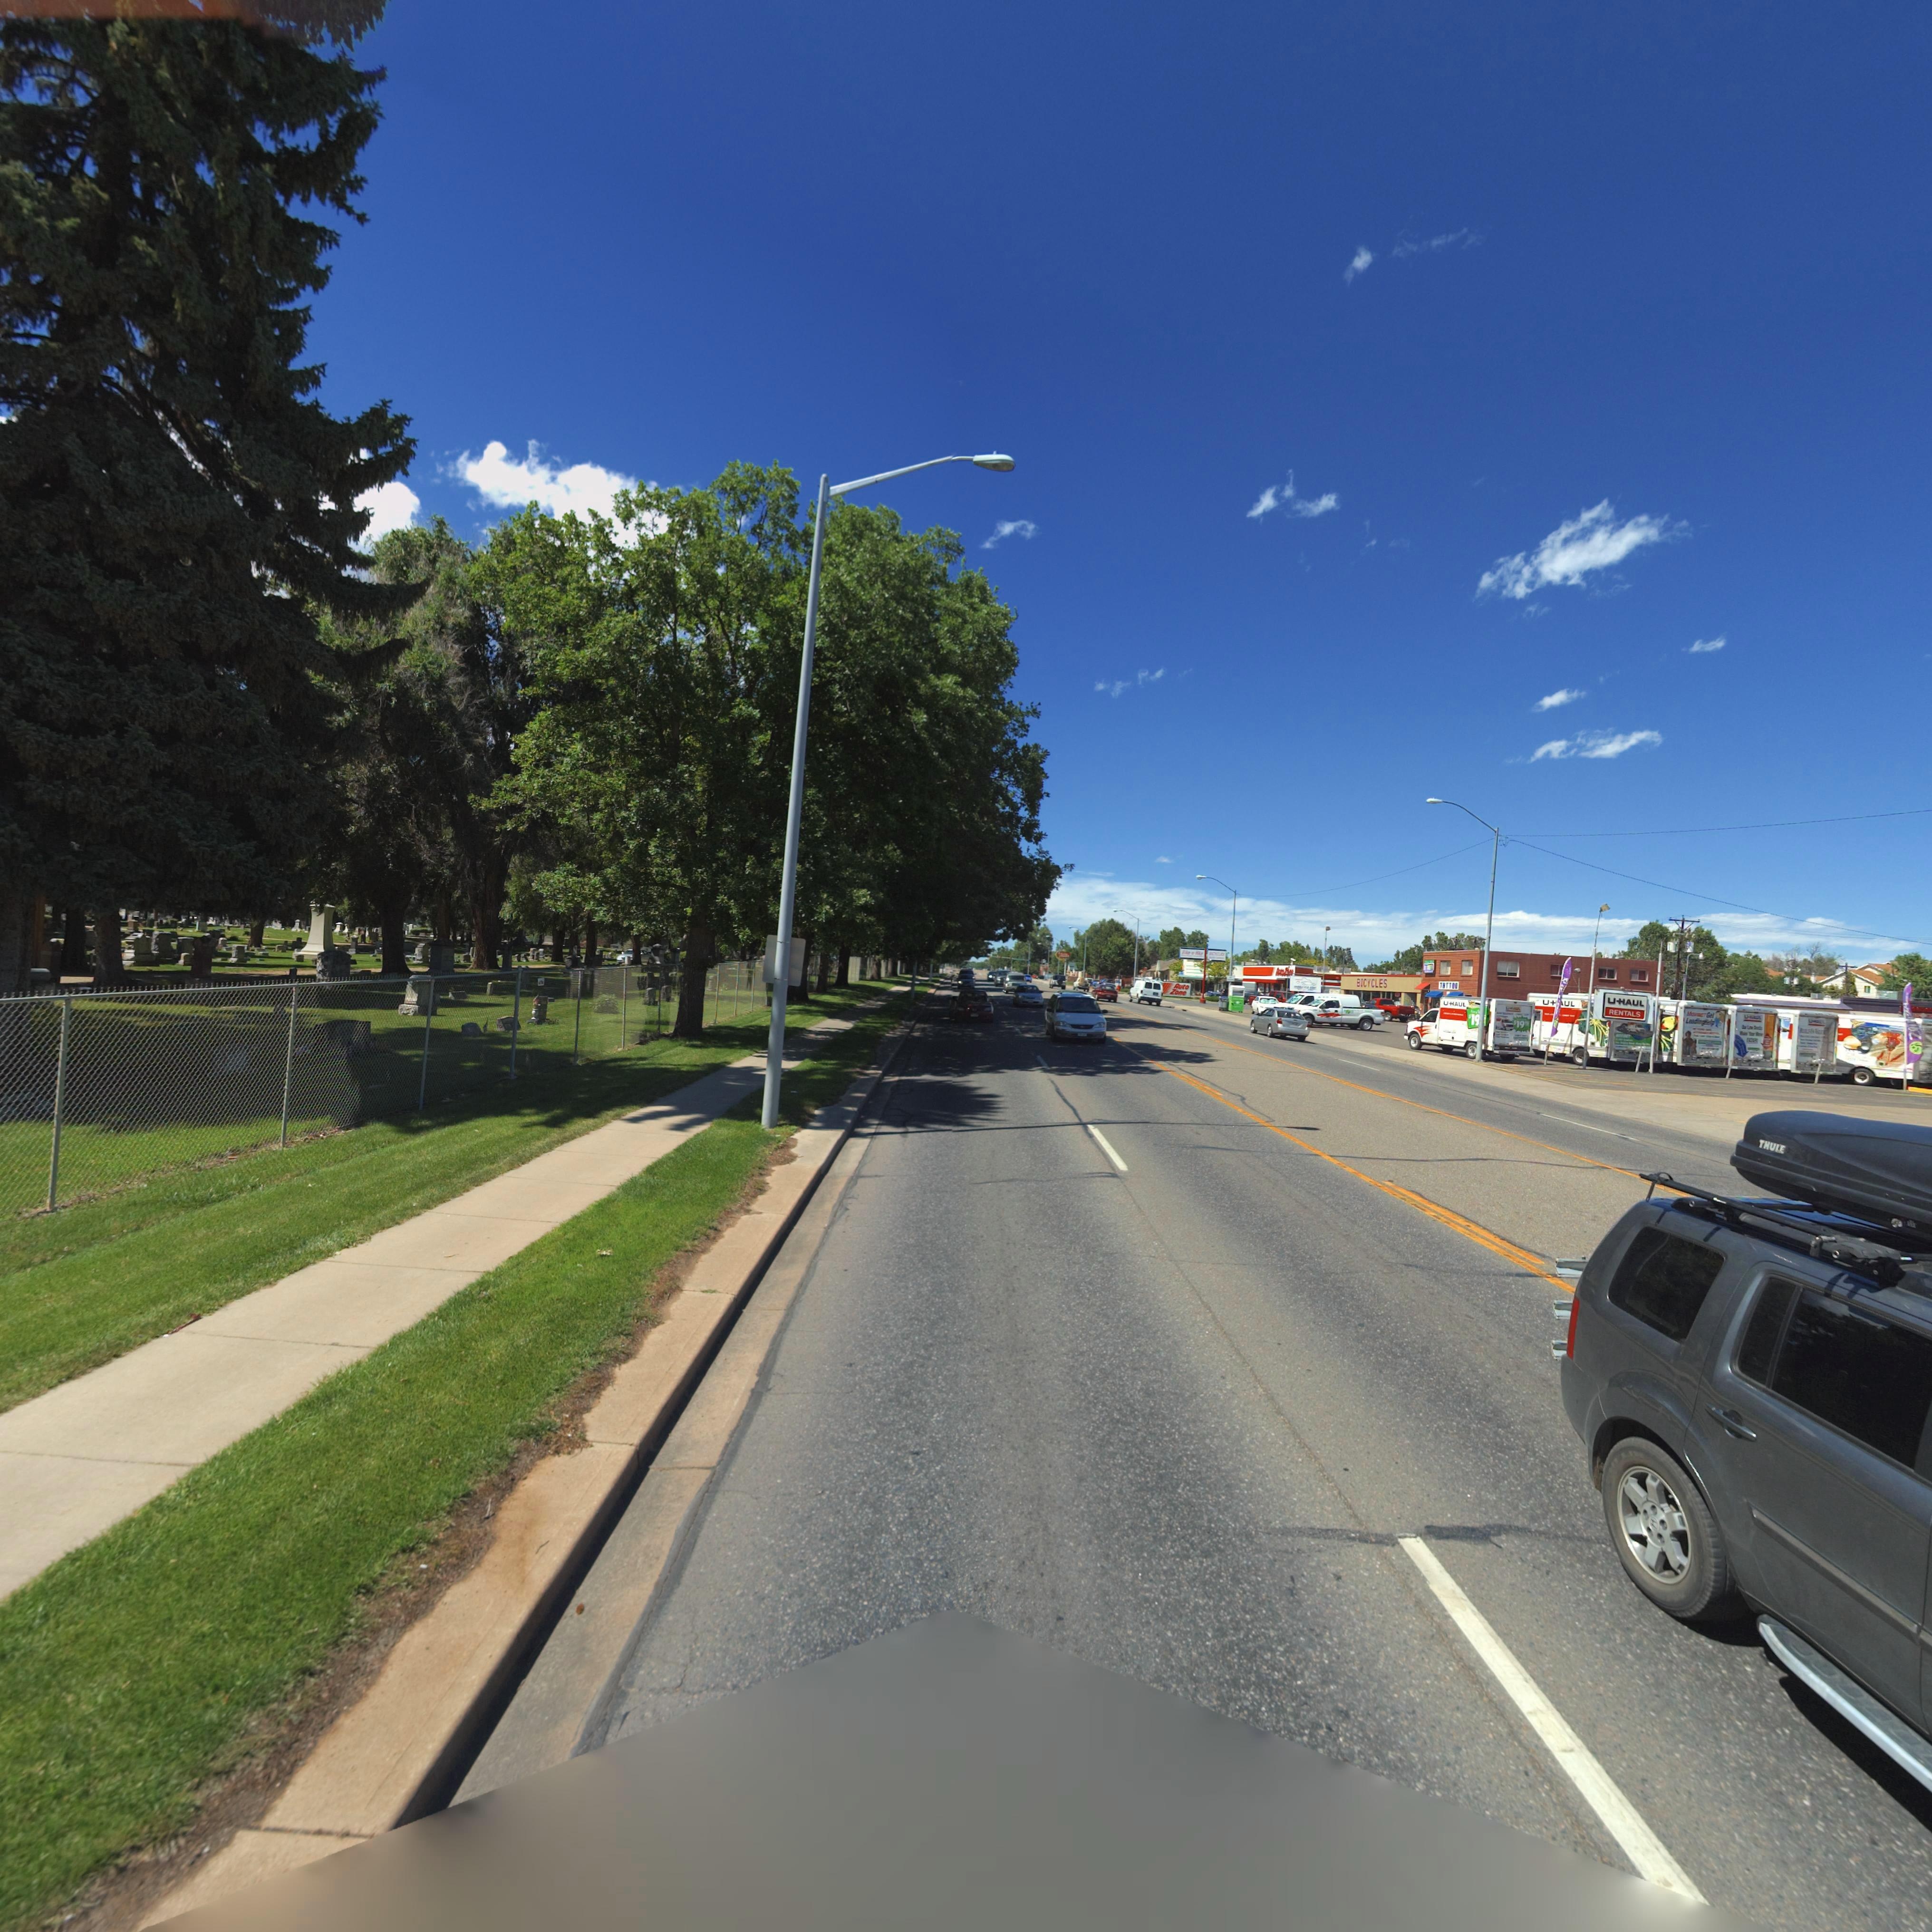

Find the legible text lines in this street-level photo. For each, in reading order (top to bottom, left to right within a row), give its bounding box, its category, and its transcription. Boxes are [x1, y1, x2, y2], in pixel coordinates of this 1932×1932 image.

[1181, 949, 1204, 956] BusinessName: B****n*H***
[1275, 967, 1294, 976] BusinessName: A*******
[1173, 983, 1189, 990] BusinessName: Auto
[1169, 988, 1187, 995] BusinessName: Zone
[1608, 1009, 1641, 1017] BusinessName: RENTALS